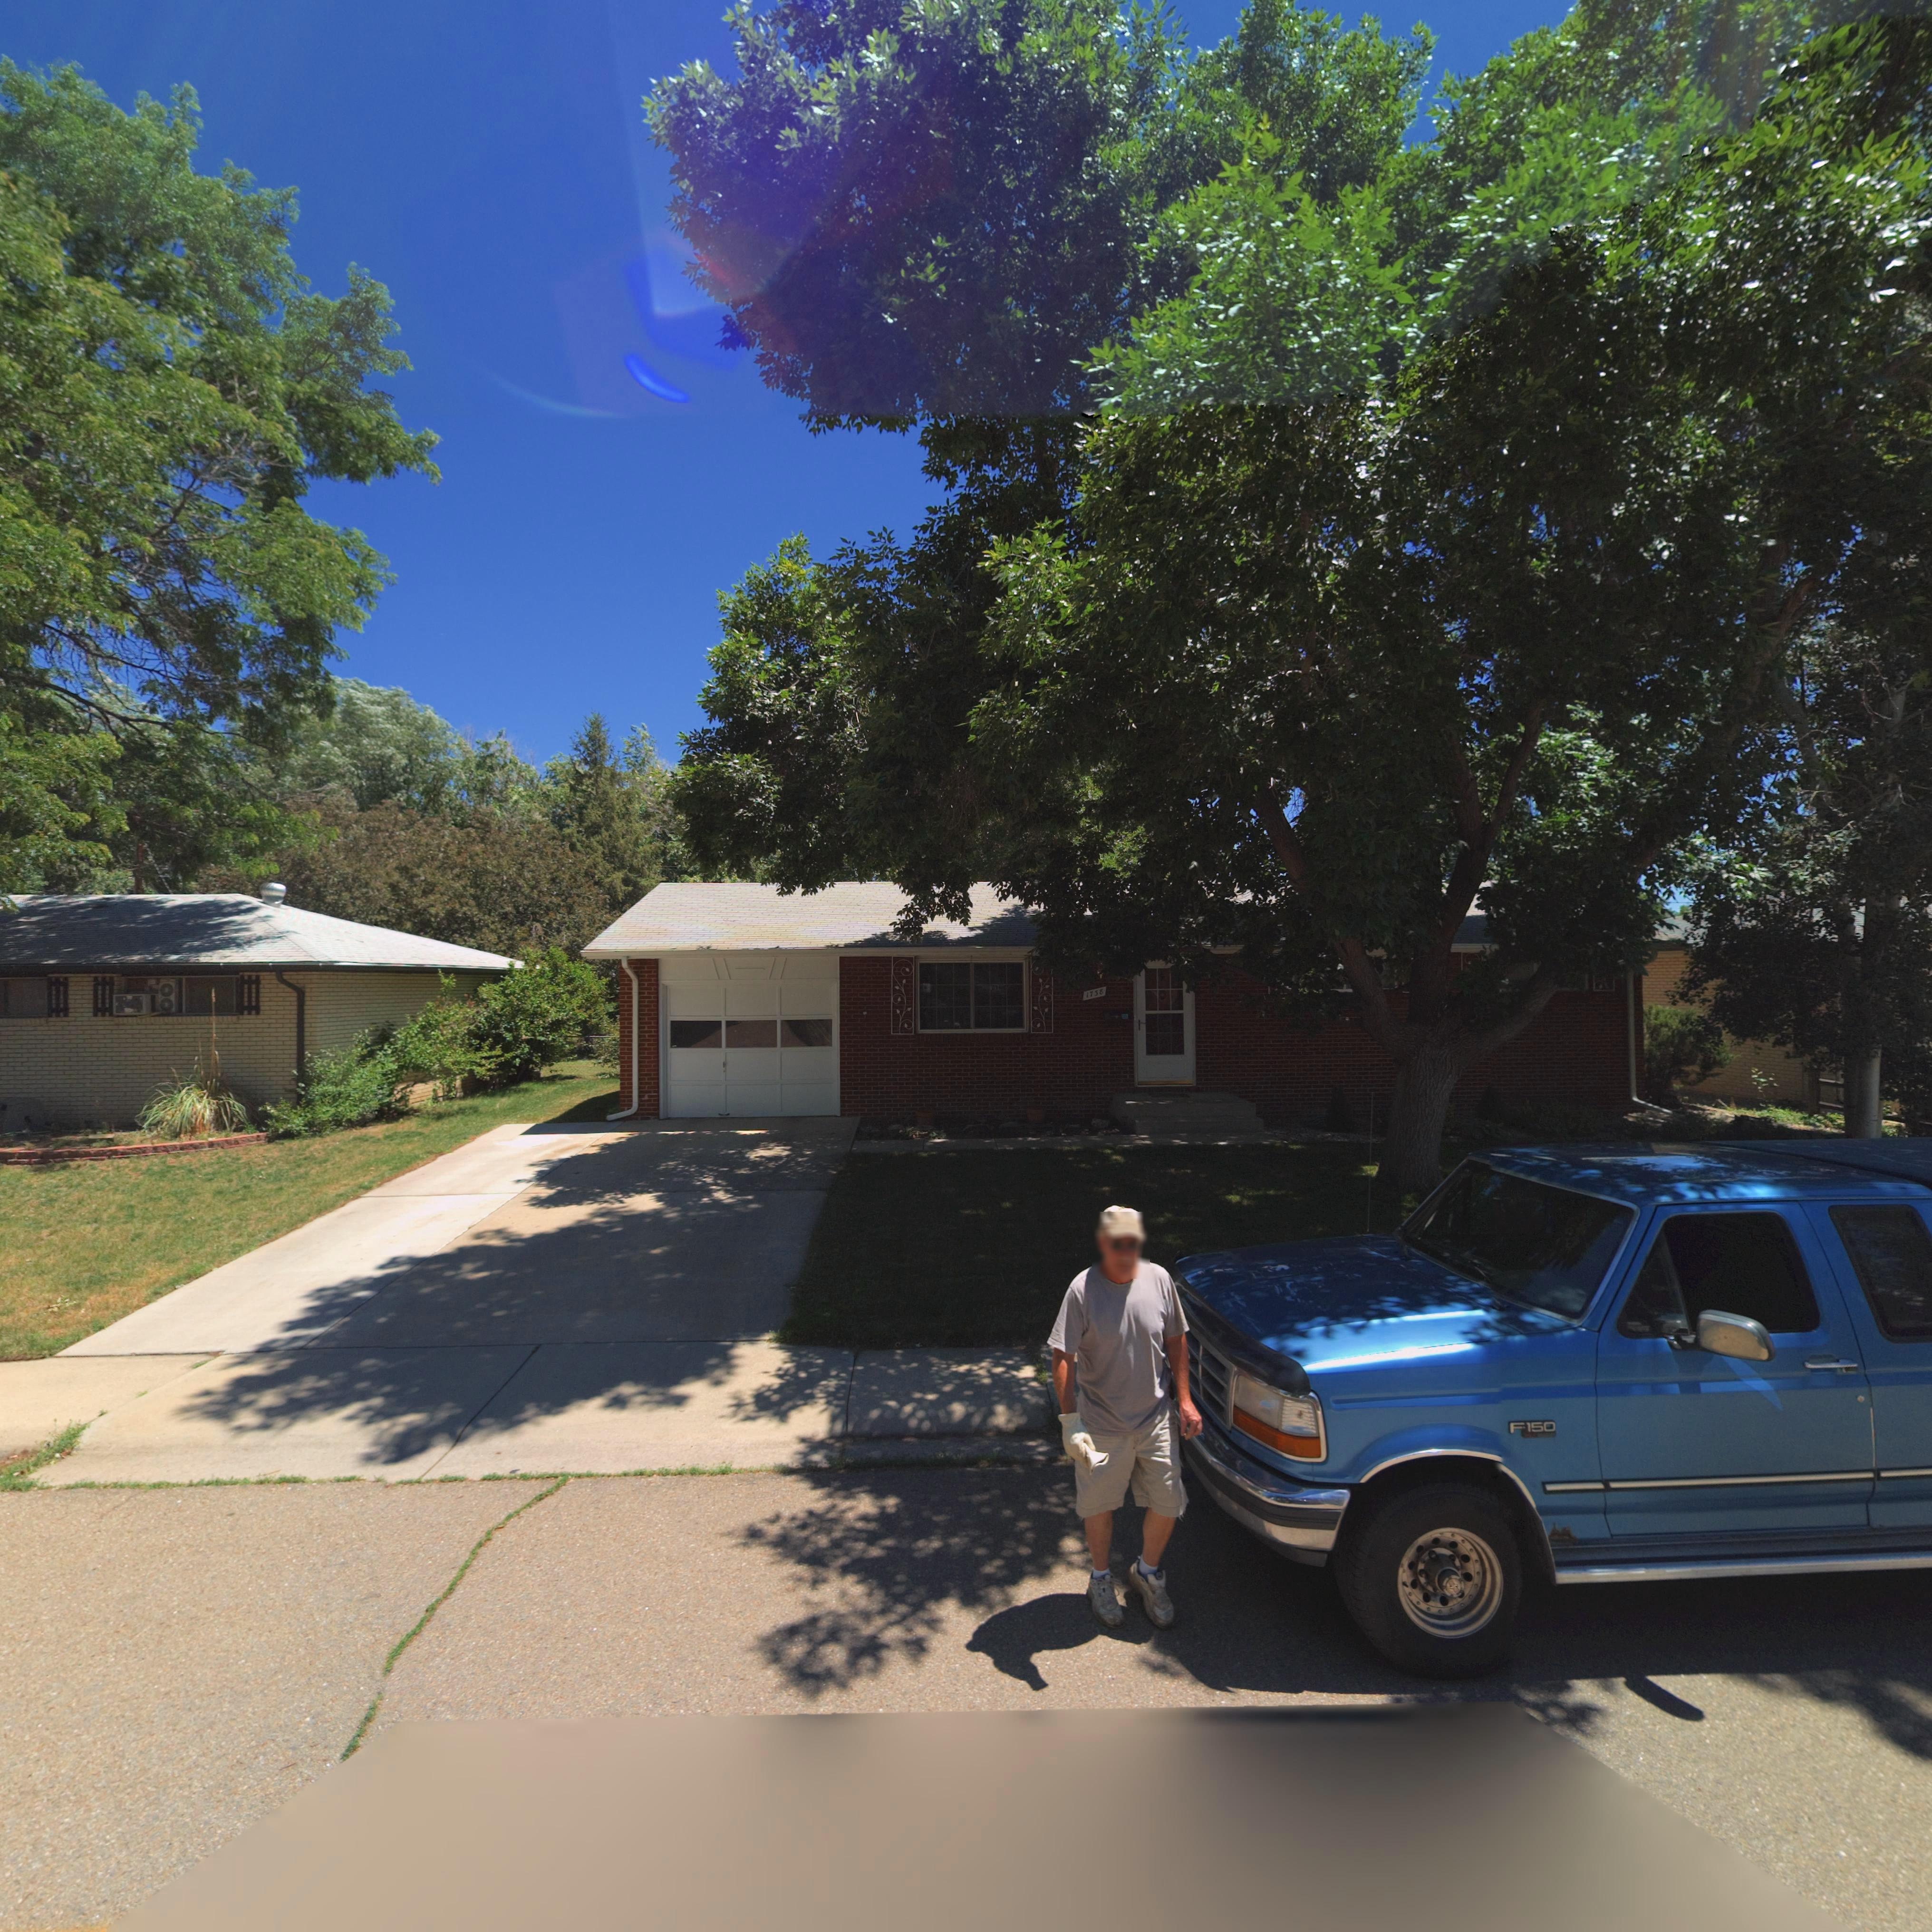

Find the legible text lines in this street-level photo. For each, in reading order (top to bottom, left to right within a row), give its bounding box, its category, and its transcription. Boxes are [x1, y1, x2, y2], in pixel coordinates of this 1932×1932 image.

[1086, 988, 1103, 998] StreetNumber: 1738